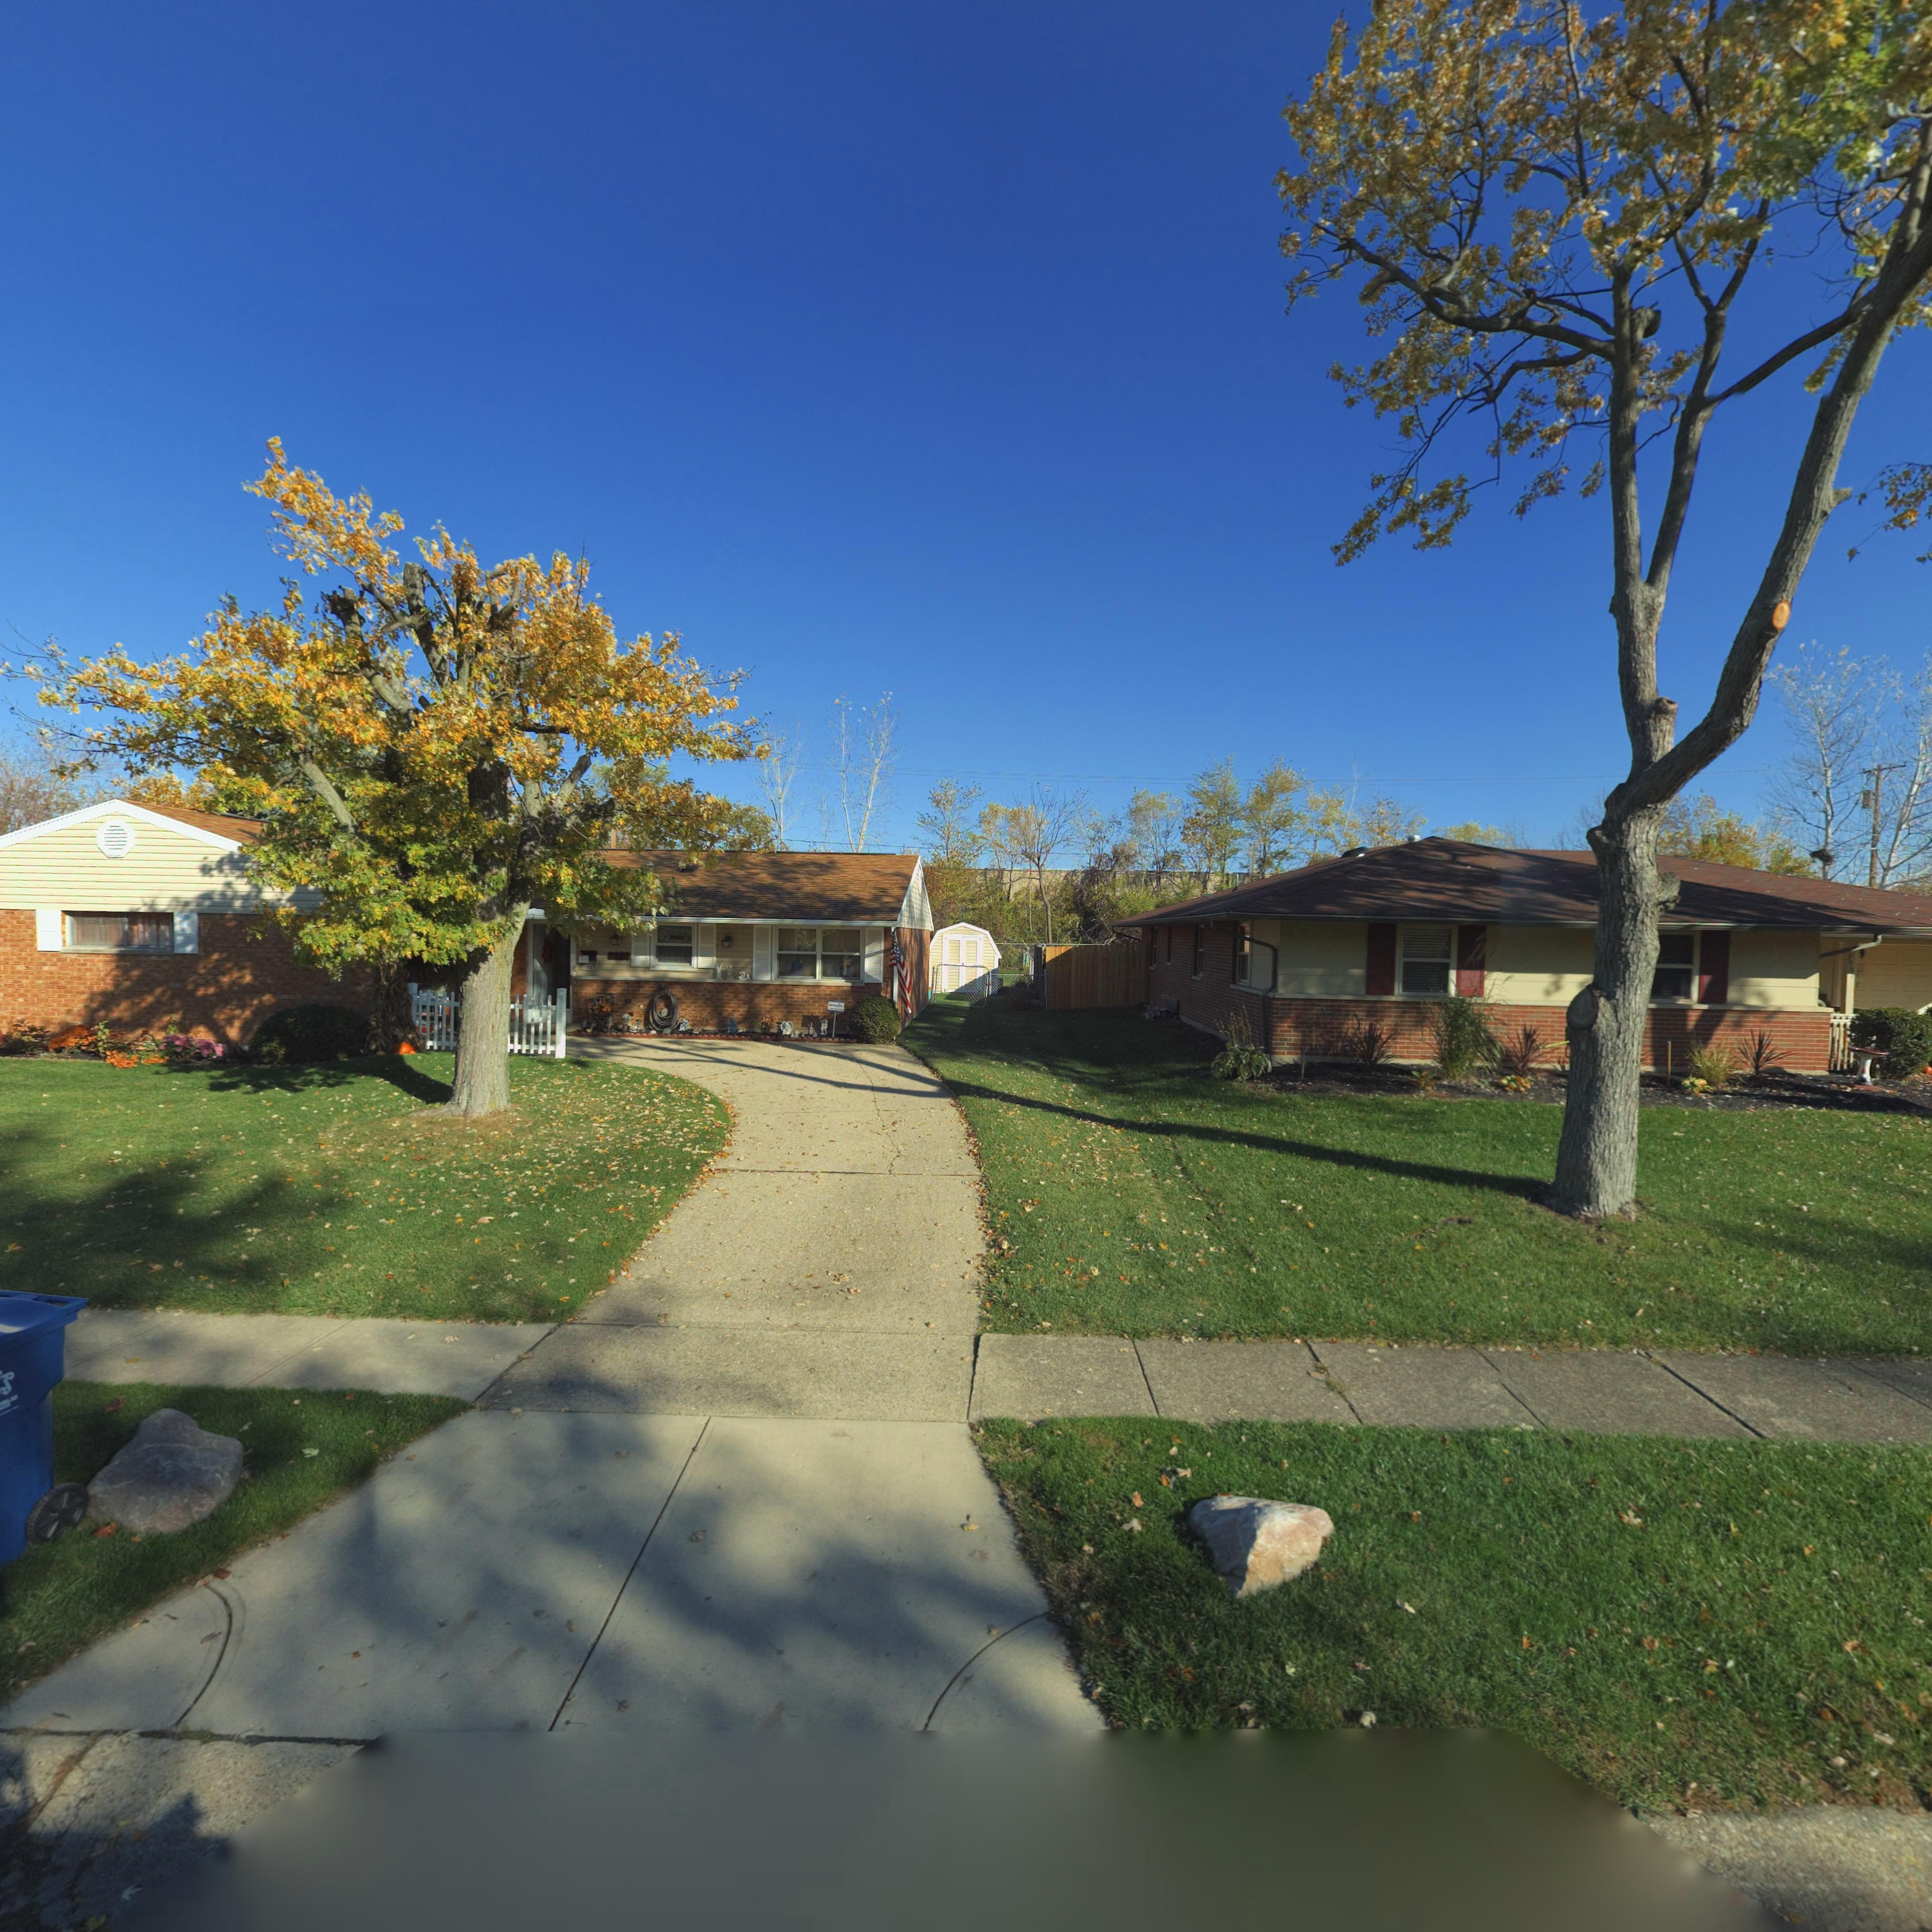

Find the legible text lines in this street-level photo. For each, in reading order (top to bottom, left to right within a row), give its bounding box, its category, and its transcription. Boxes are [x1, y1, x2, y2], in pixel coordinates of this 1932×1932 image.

[581, 964, 597, 971] StreetNumber: 79**